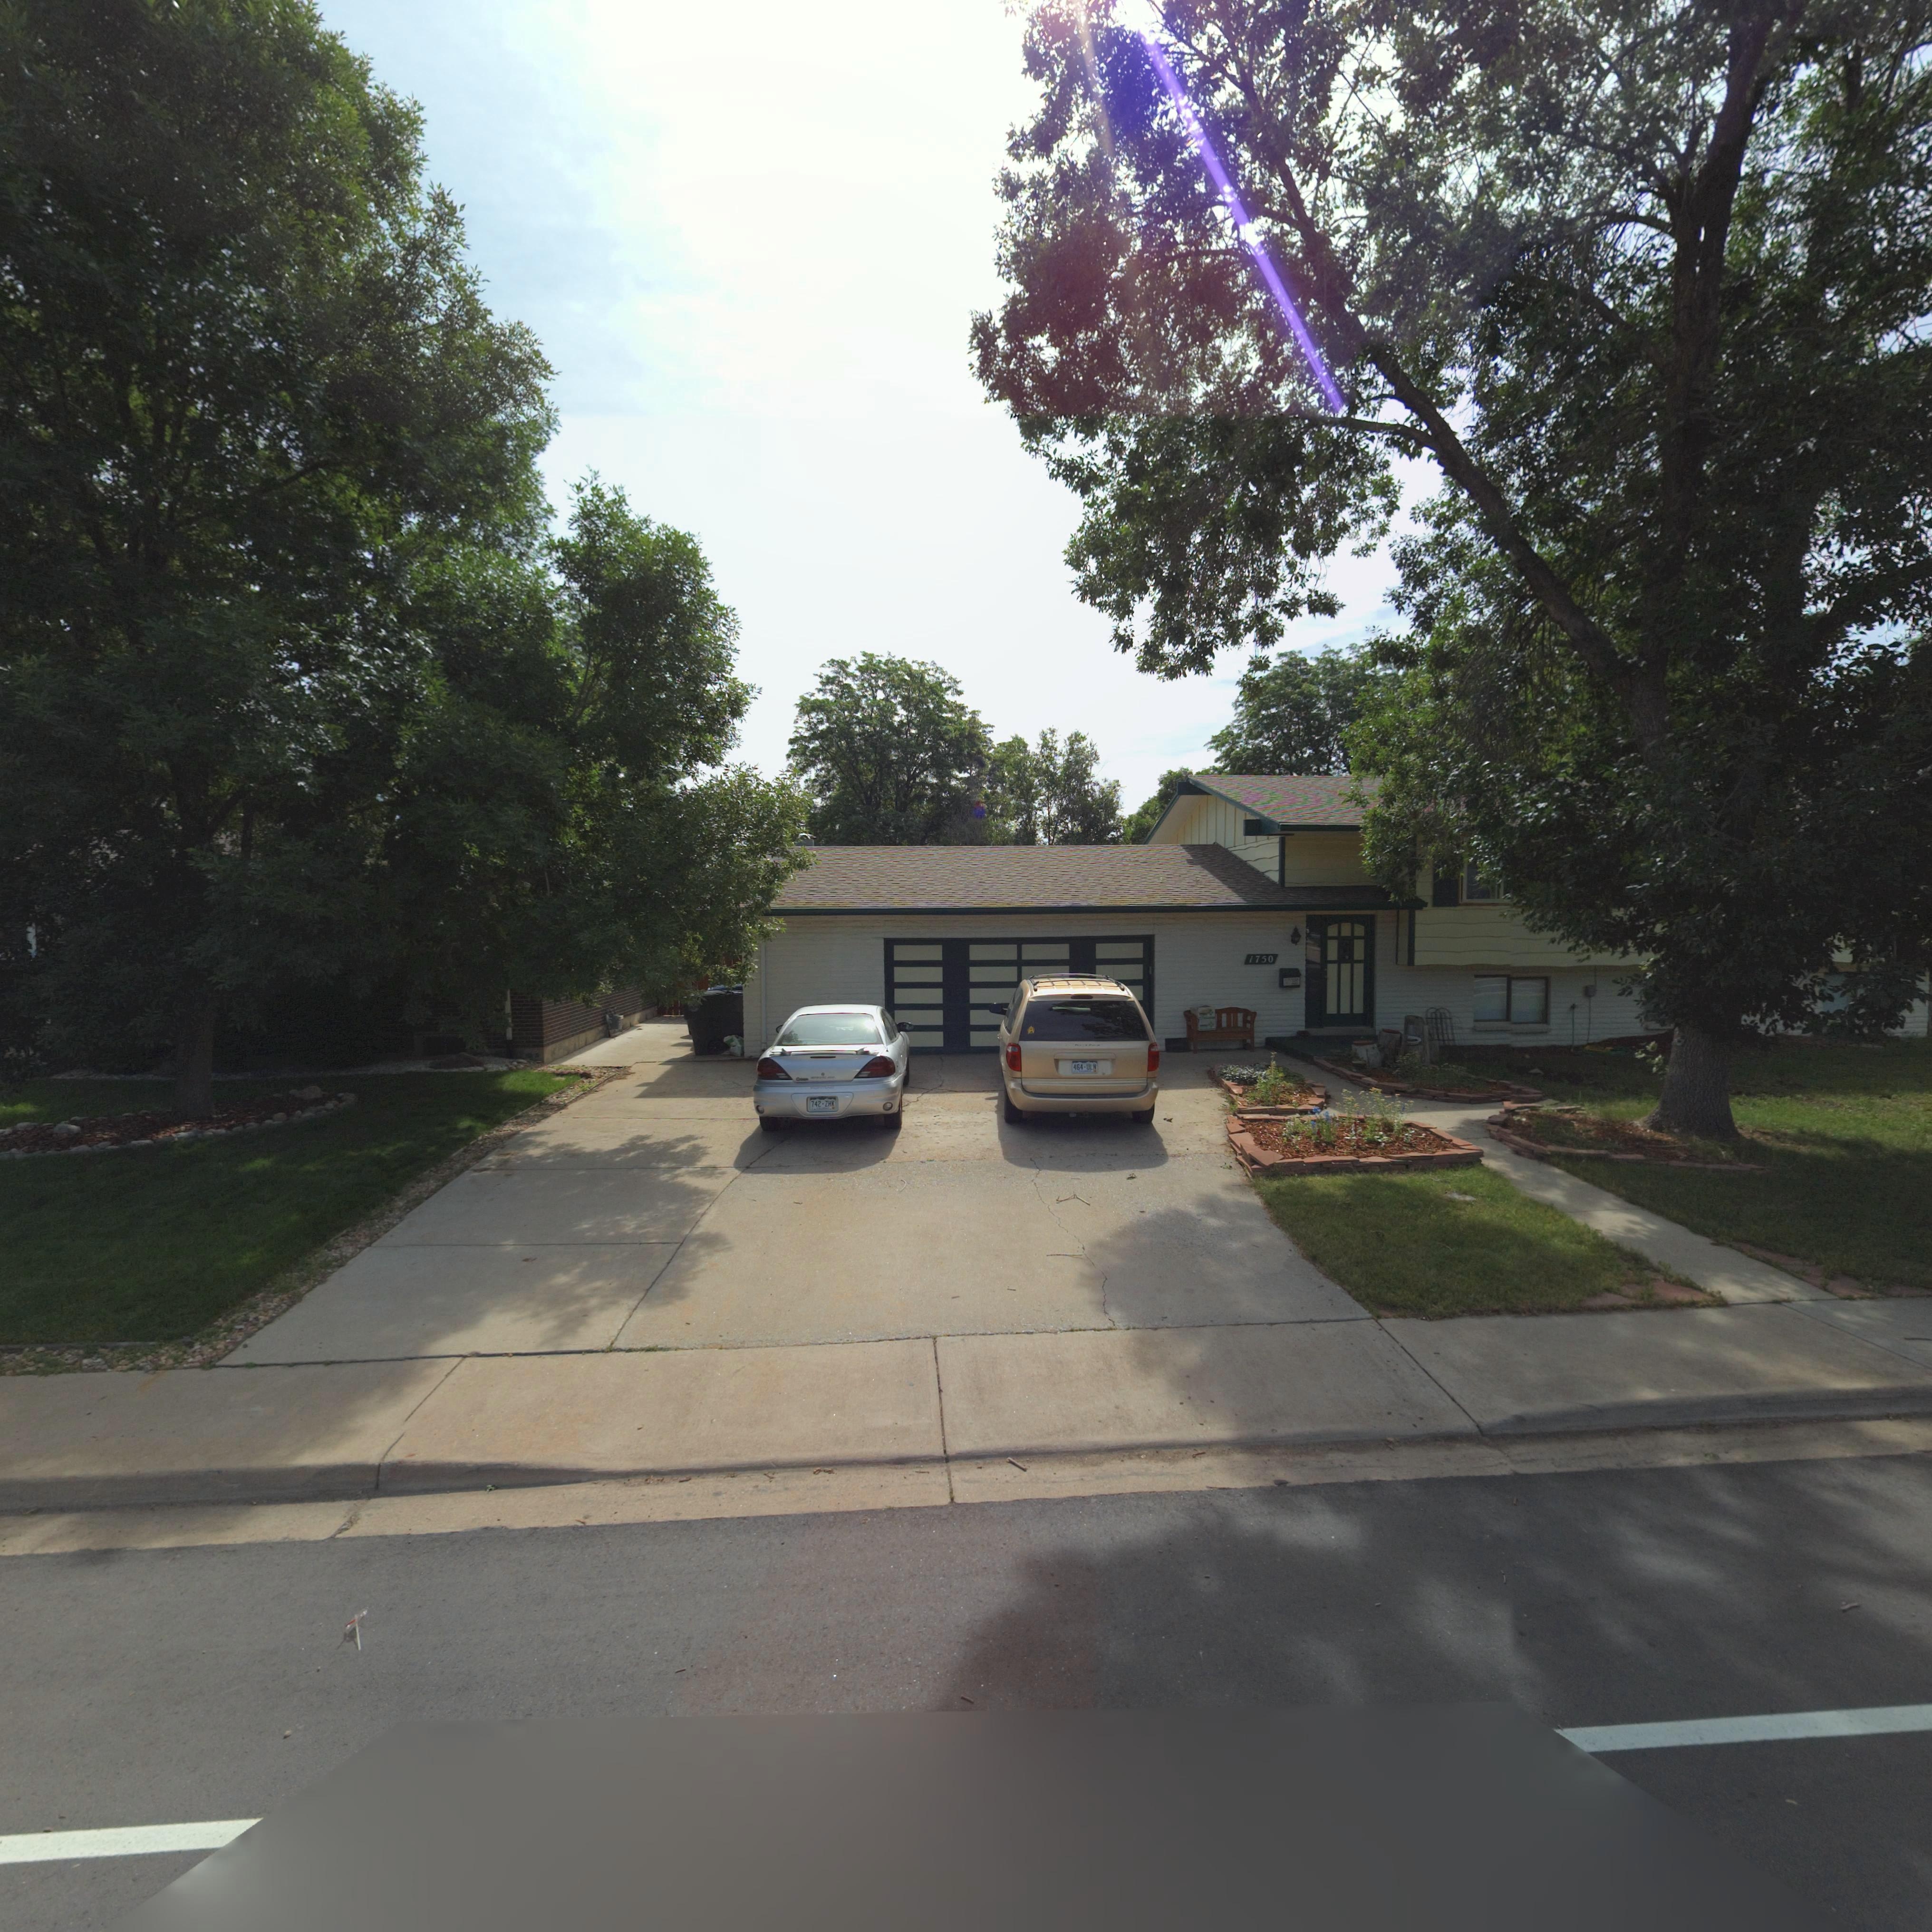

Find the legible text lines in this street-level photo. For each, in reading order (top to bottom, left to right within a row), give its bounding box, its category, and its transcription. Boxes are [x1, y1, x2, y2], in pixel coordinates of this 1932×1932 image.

[1248, 955, 1273, 963] StreetNumber: 1750